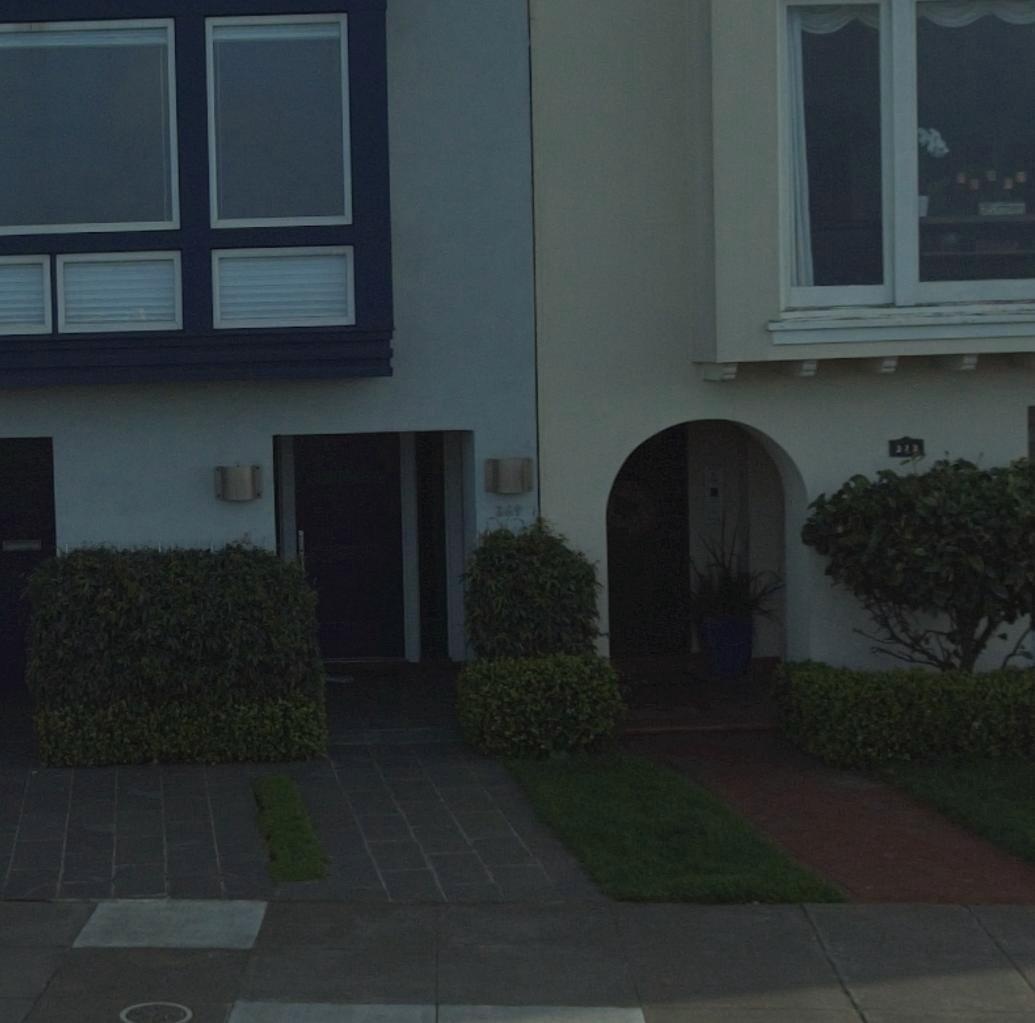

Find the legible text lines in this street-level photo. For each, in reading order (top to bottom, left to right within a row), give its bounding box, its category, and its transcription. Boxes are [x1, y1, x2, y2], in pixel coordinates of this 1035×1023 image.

[492, 502, 524, 519] StreetNumber: 369